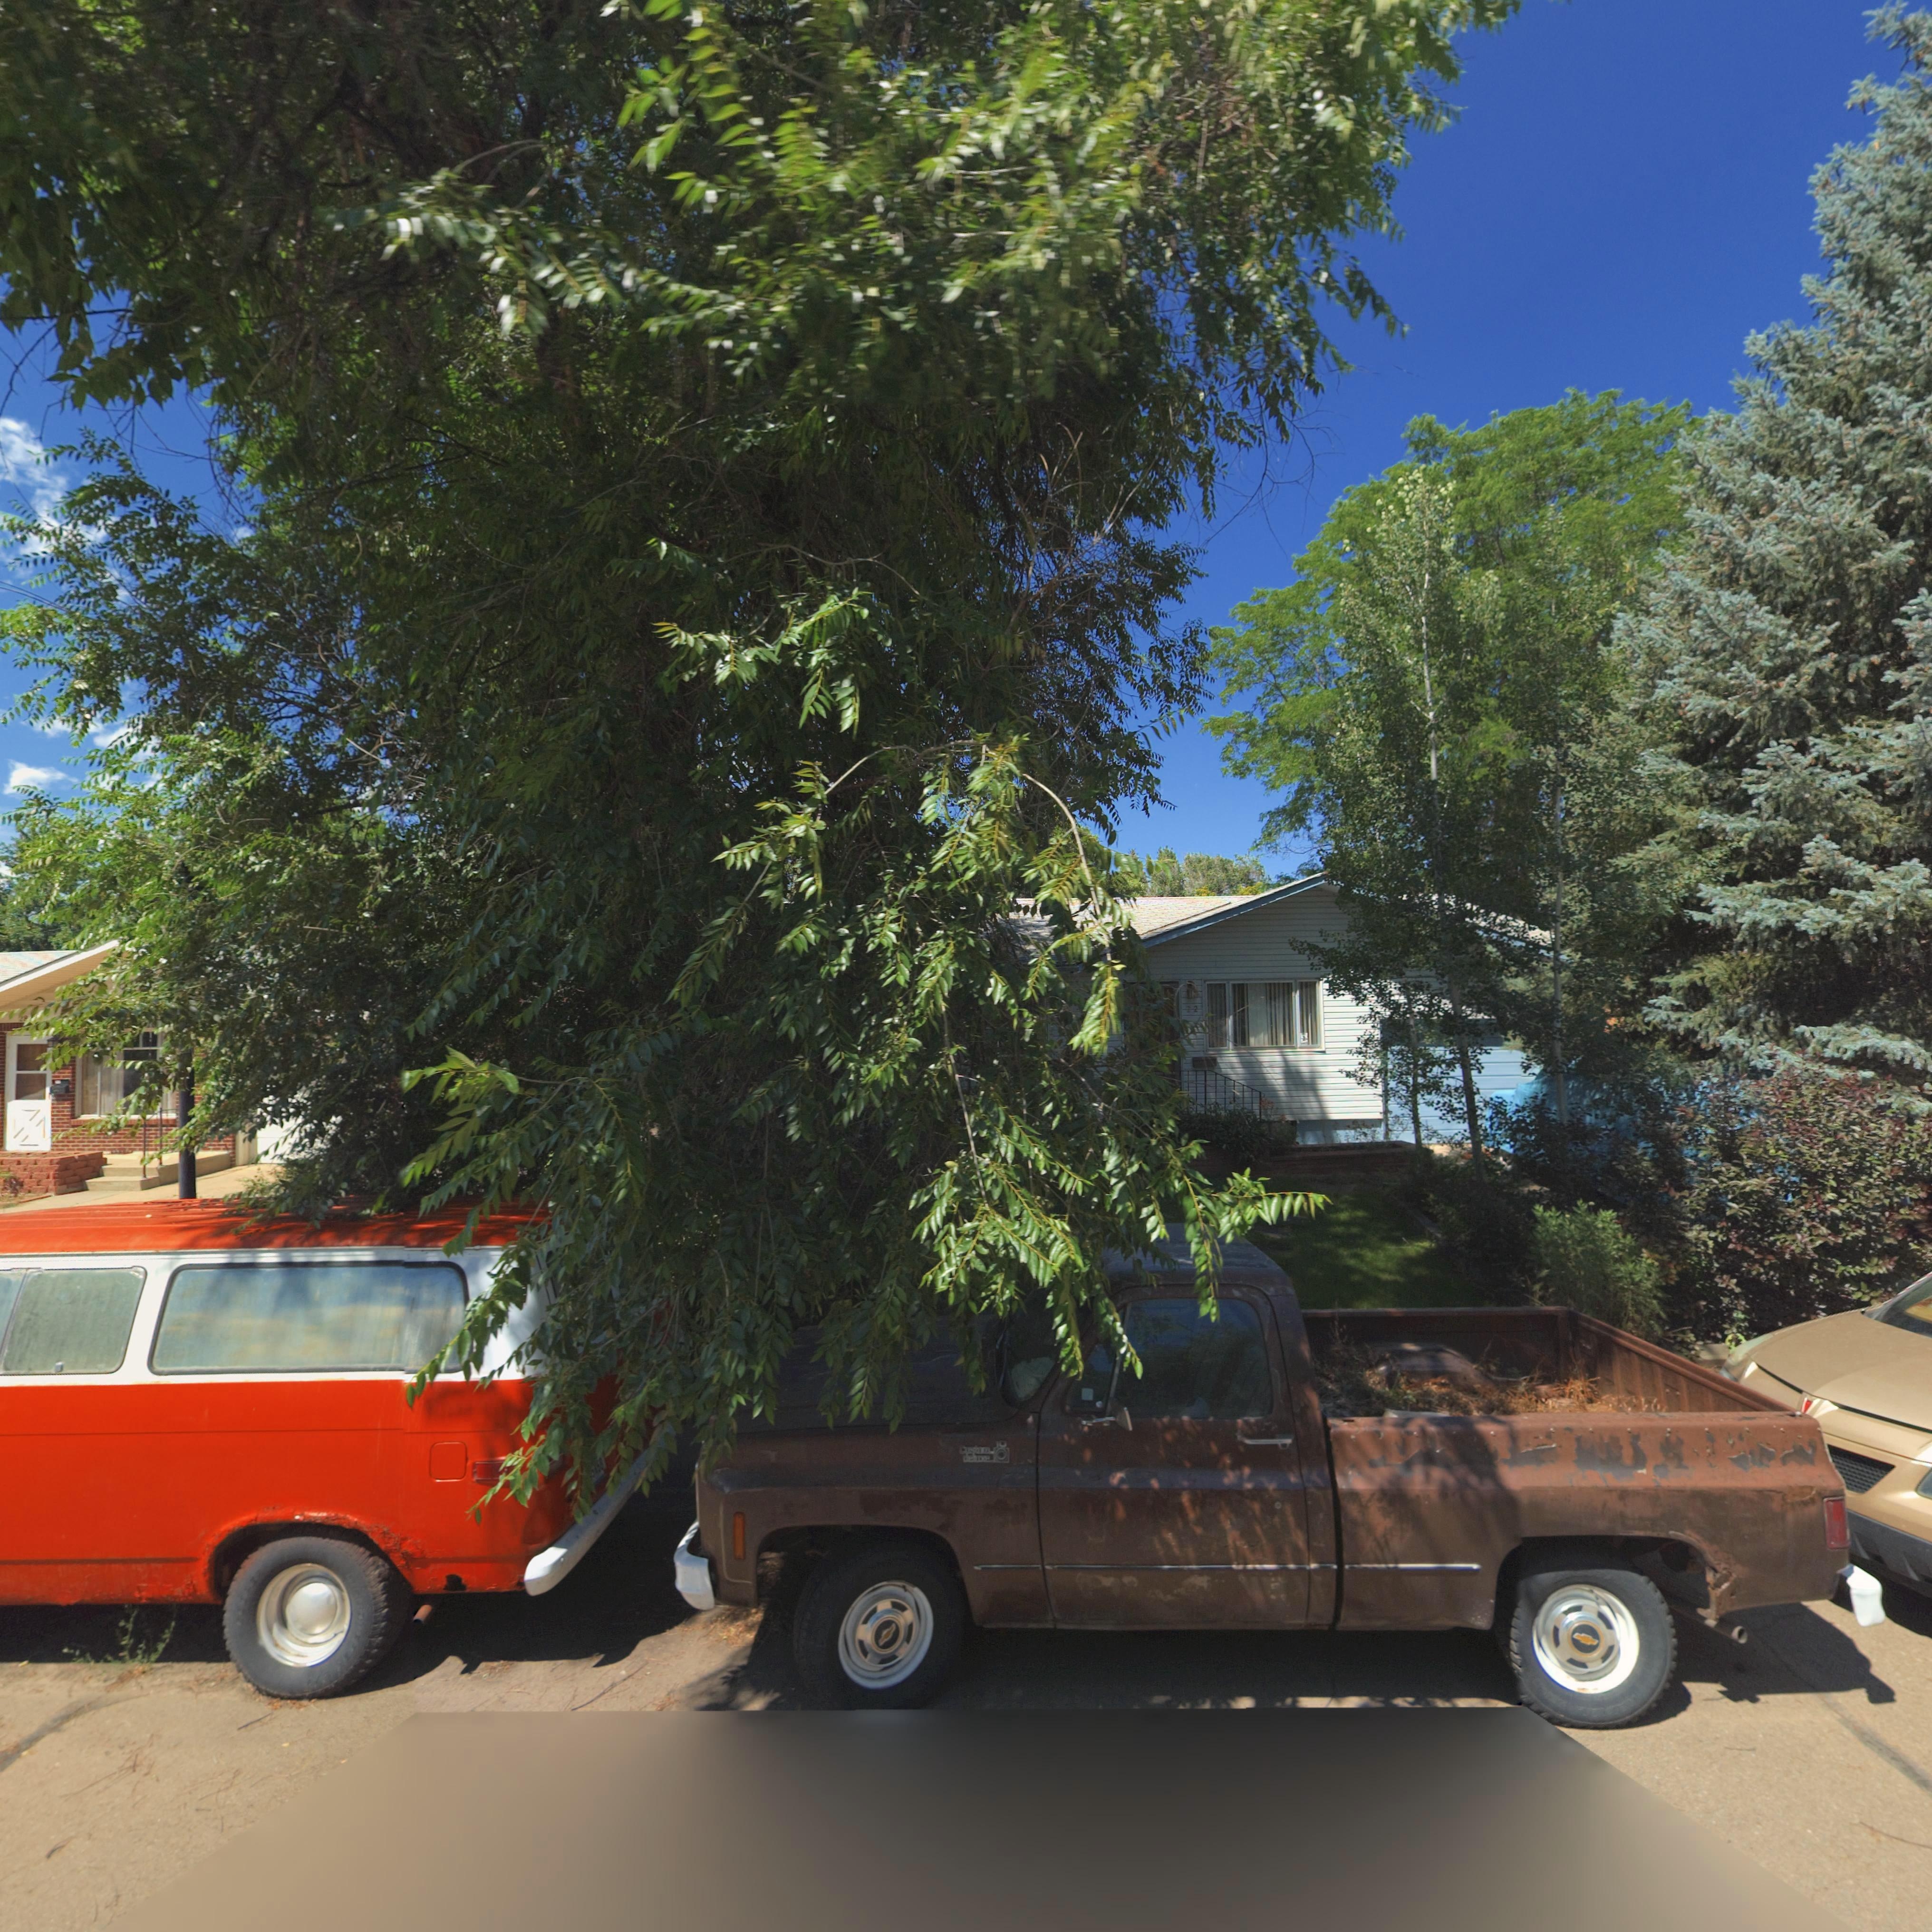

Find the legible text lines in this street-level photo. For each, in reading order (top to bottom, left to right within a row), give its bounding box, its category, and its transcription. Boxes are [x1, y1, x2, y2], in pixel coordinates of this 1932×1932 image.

[1186, 1005, 1198, 1013] StreetNumber: 22
[19, 1014, 28, 1021] StreetNumber: 28